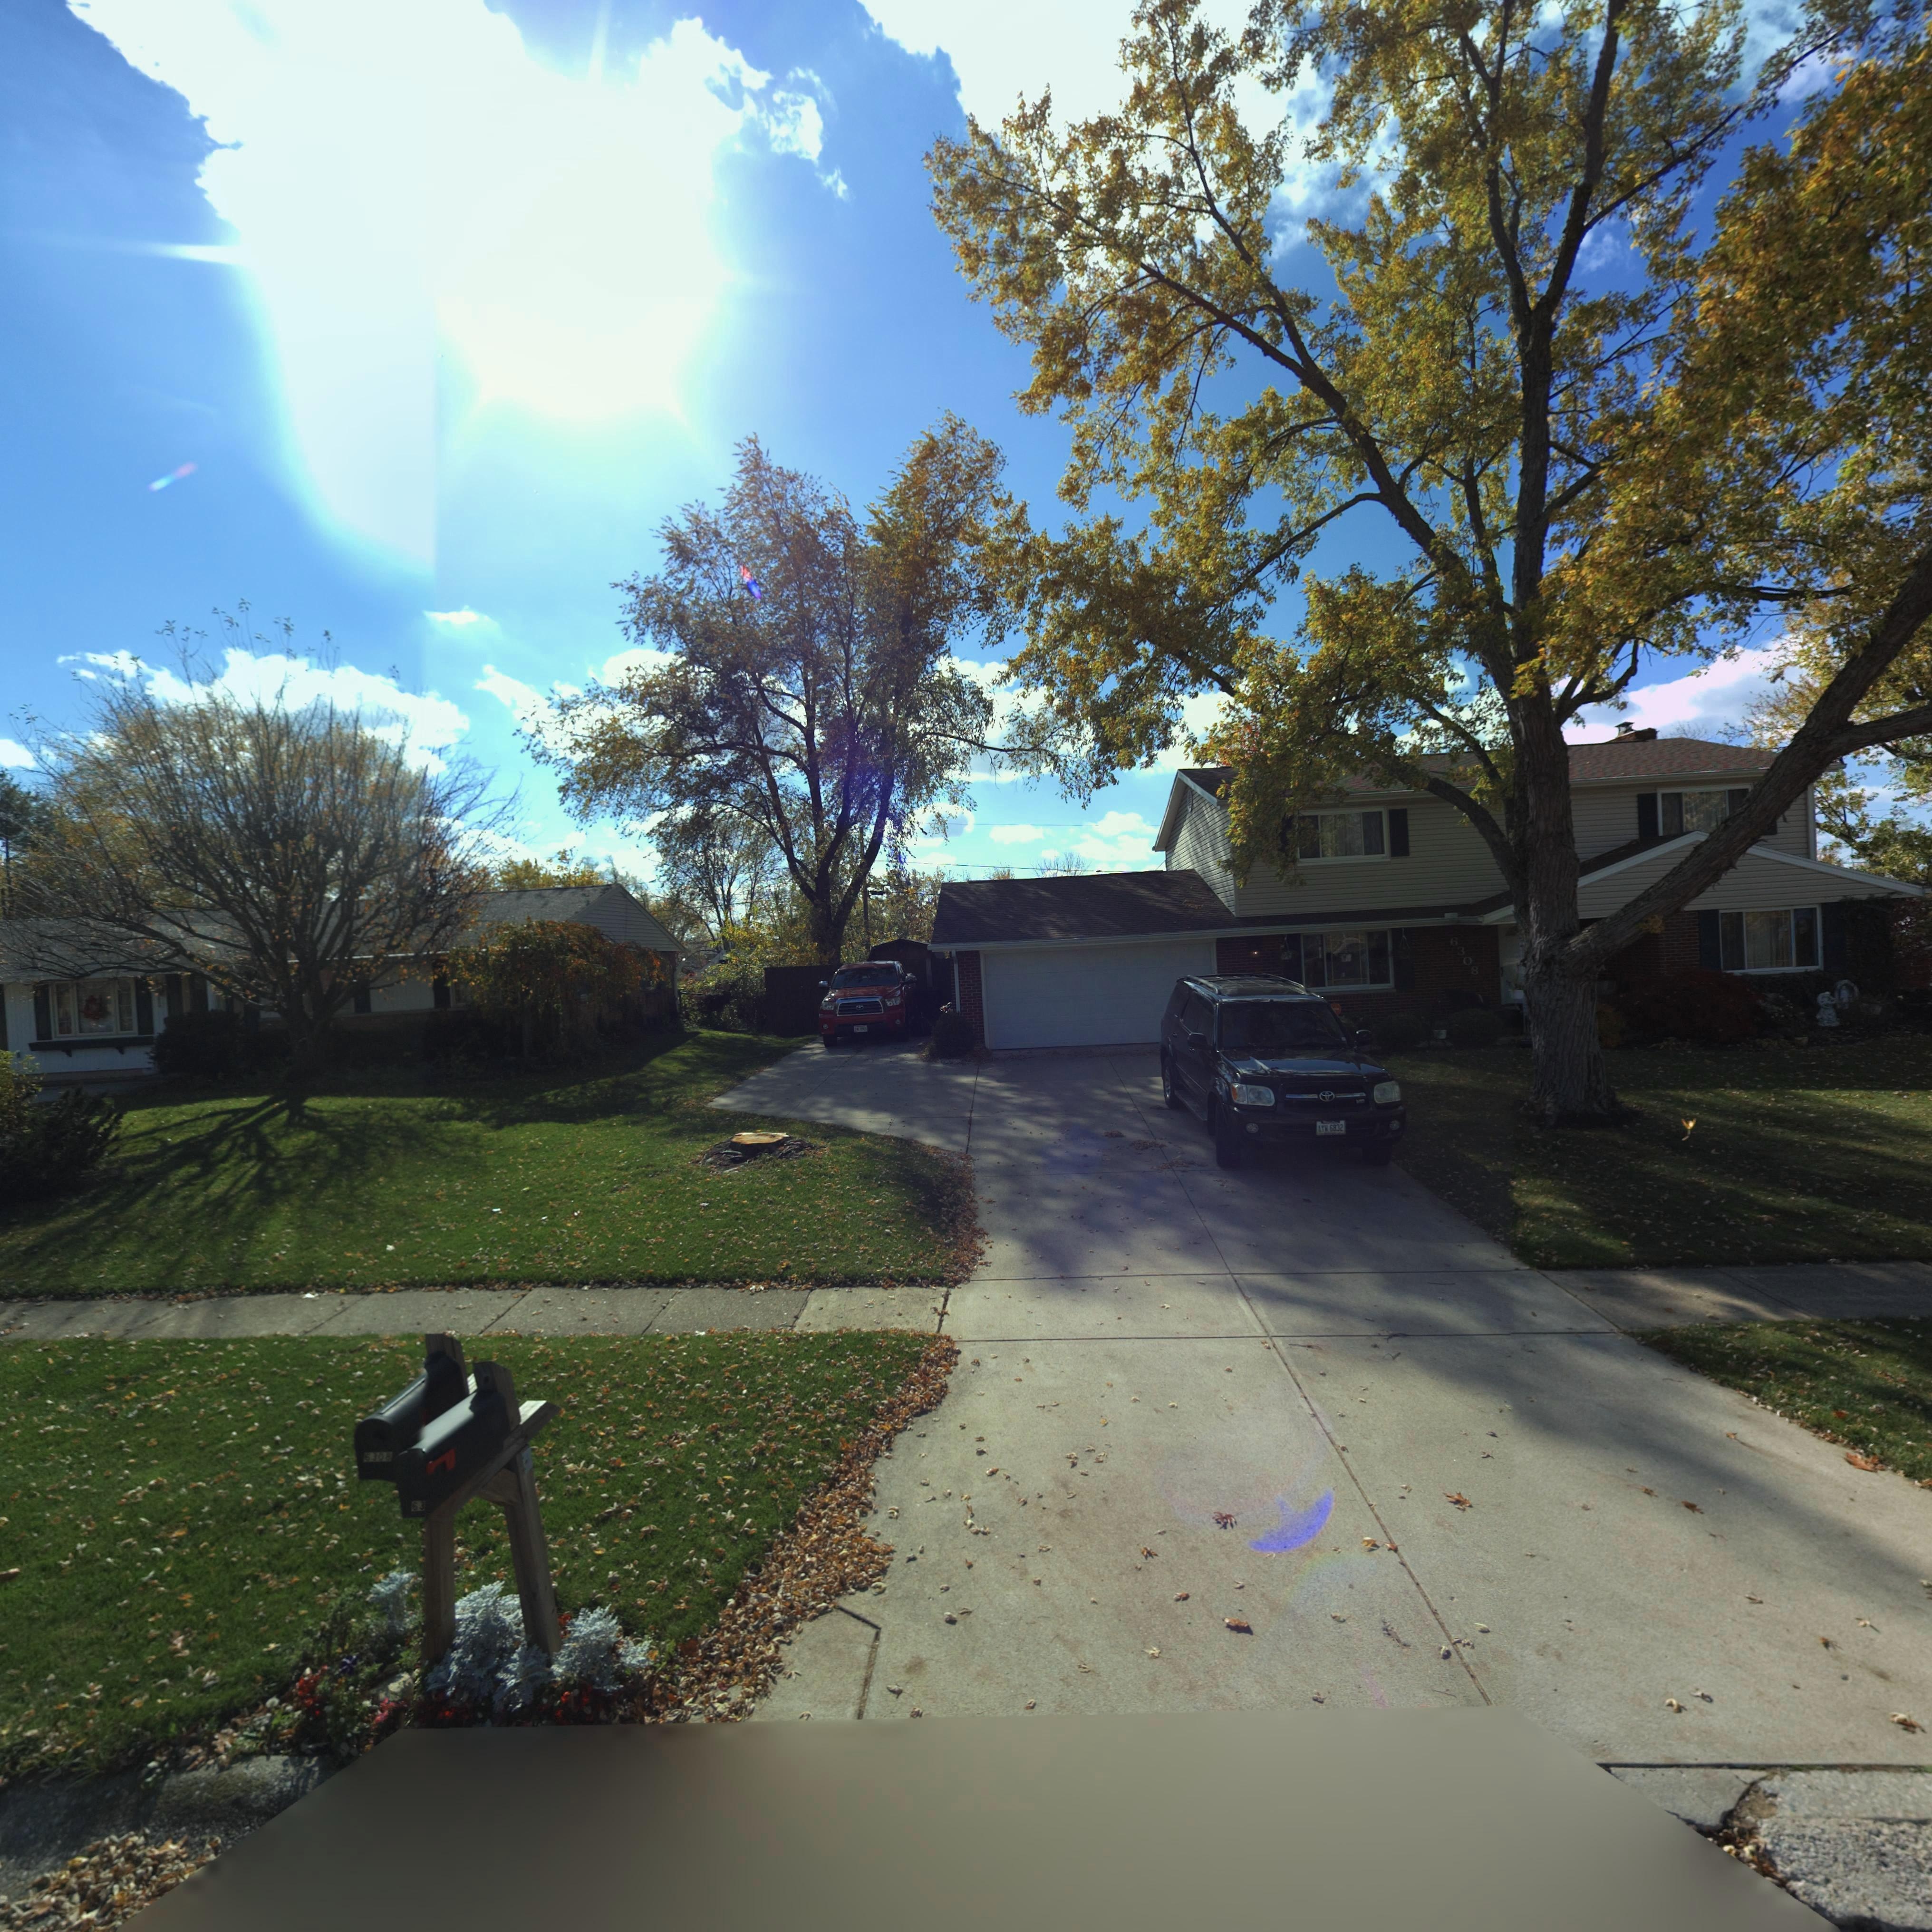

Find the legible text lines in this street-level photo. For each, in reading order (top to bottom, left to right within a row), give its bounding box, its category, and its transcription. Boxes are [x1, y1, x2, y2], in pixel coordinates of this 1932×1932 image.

[1449, 936, 1479, 976] StreetNumber: 6308
[363, 1451, 393, 1461] StreetNumber: 6308
[411, 1500, 426, 1511] StreetNumber: 63